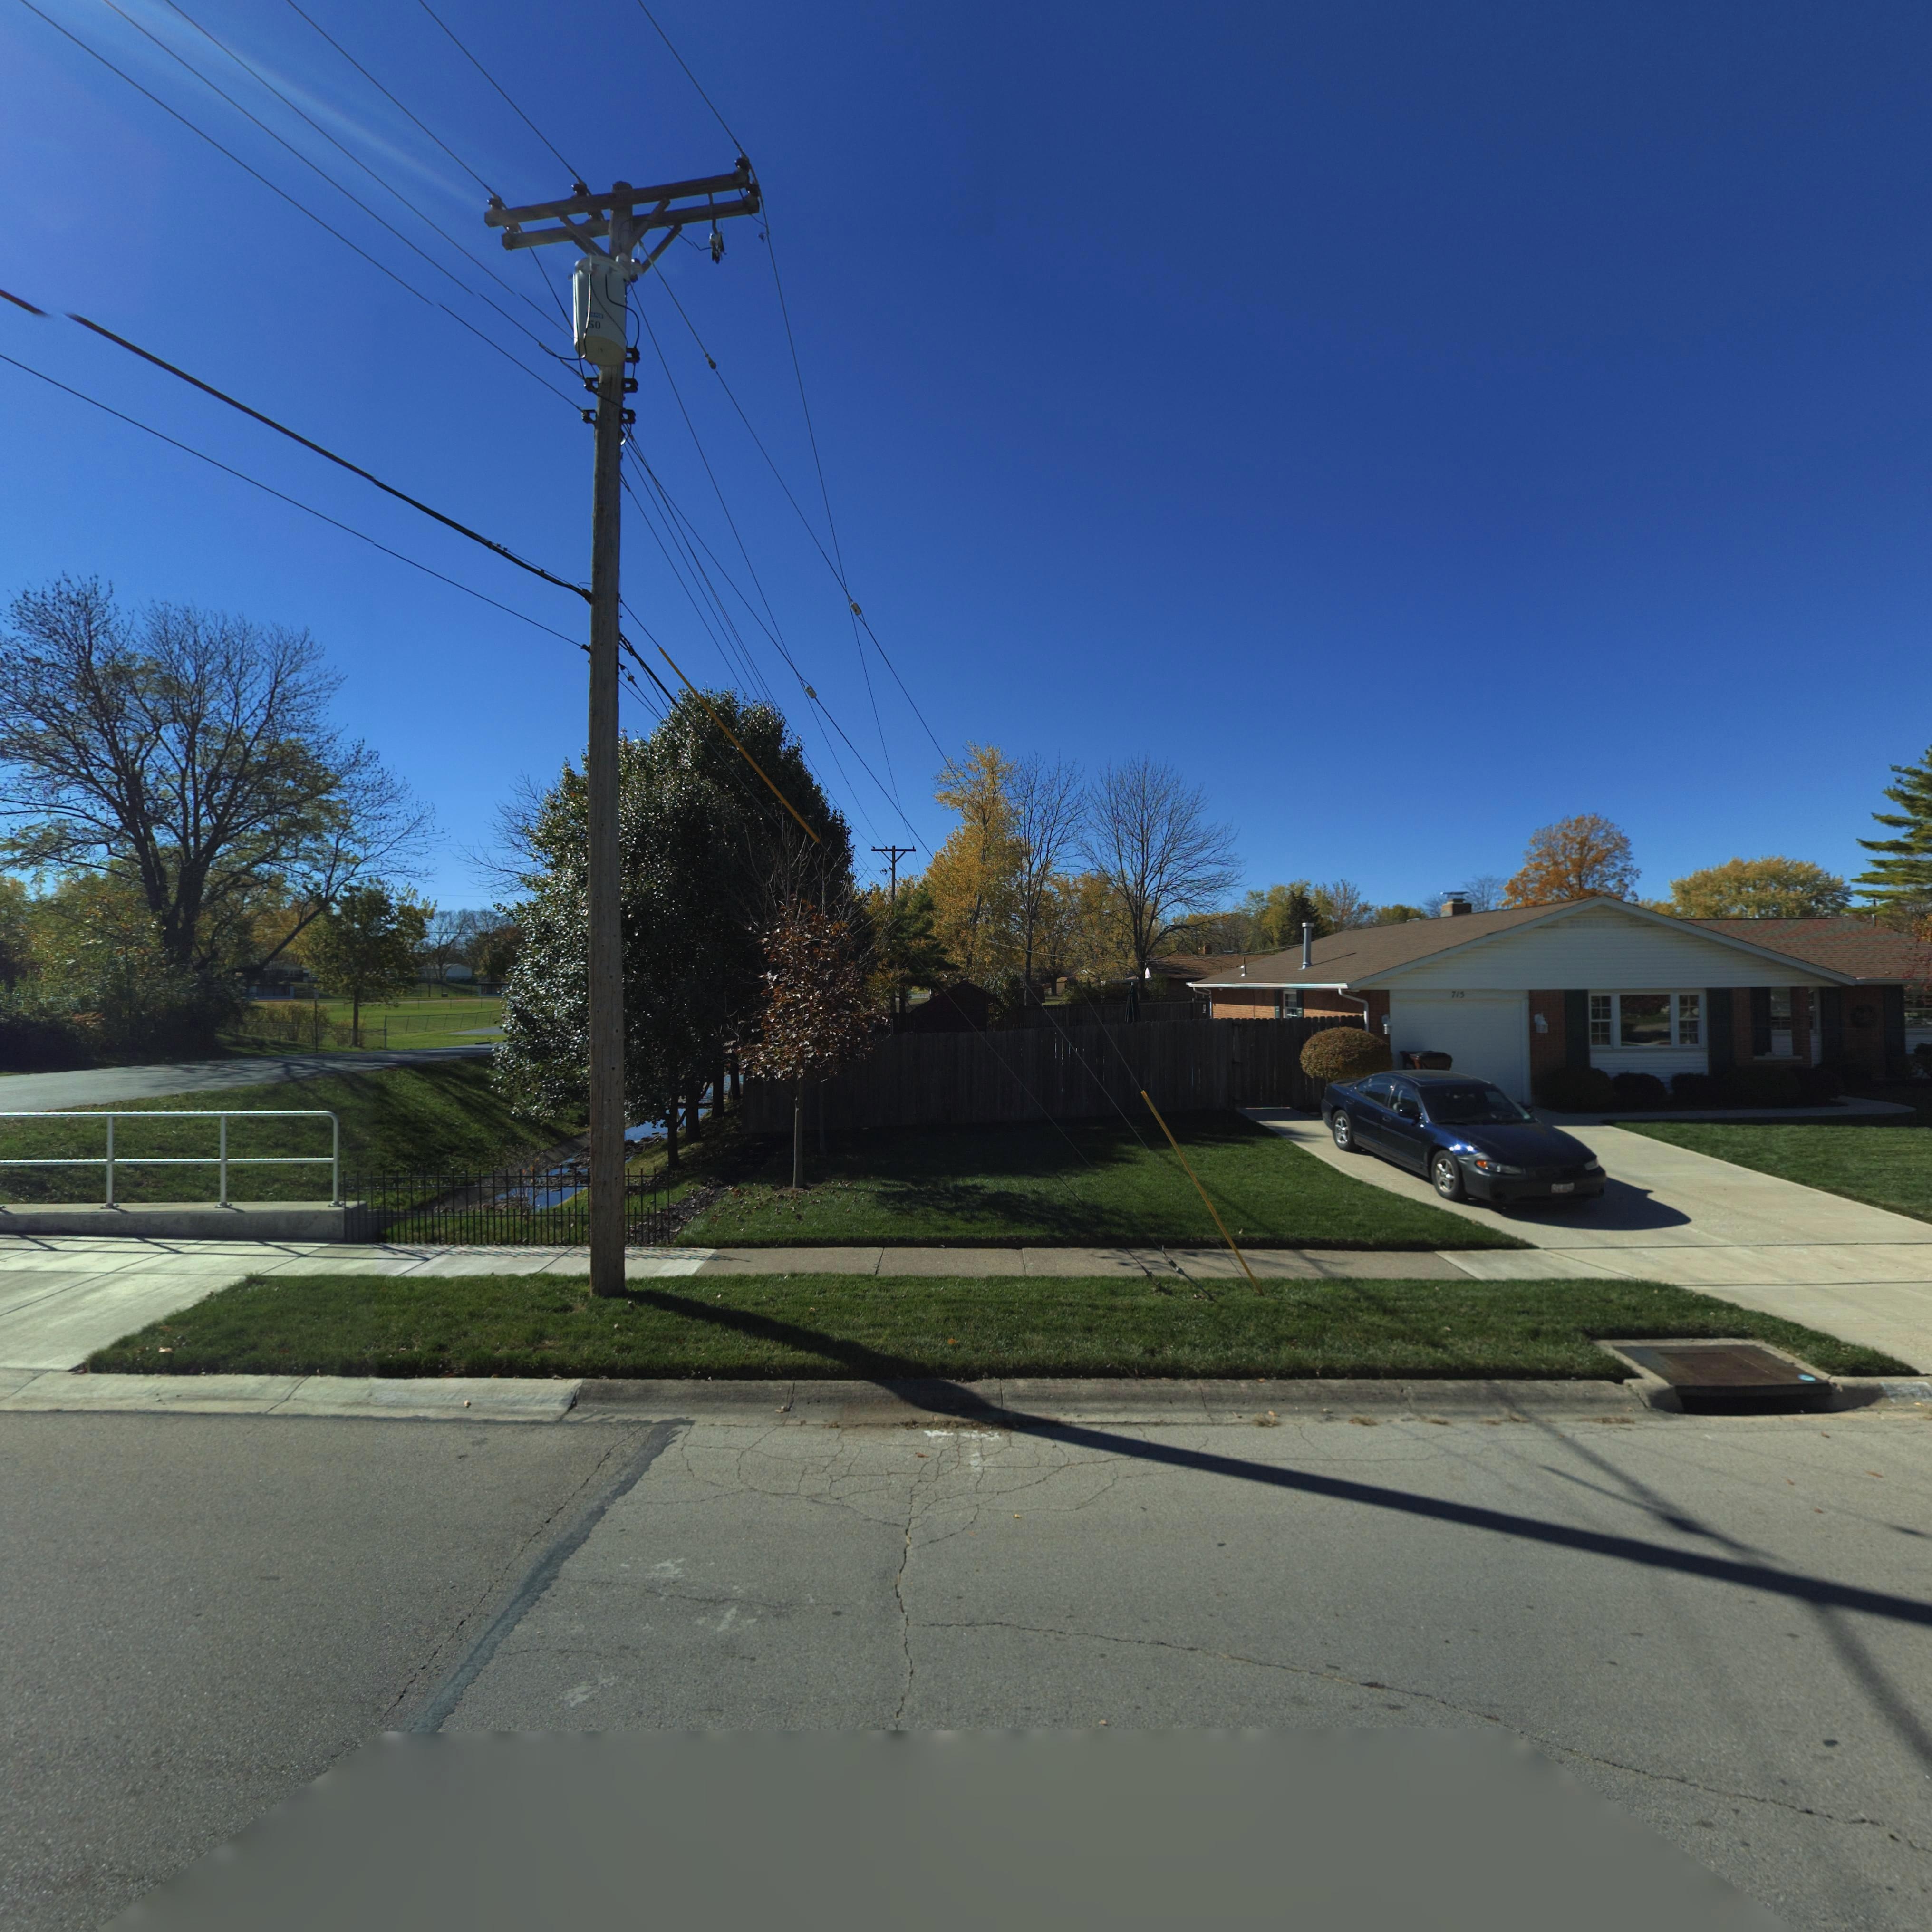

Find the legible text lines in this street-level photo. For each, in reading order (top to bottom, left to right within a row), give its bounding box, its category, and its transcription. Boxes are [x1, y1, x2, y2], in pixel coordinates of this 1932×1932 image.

[1450, 991, 1465, 998] StreetNumber: 715